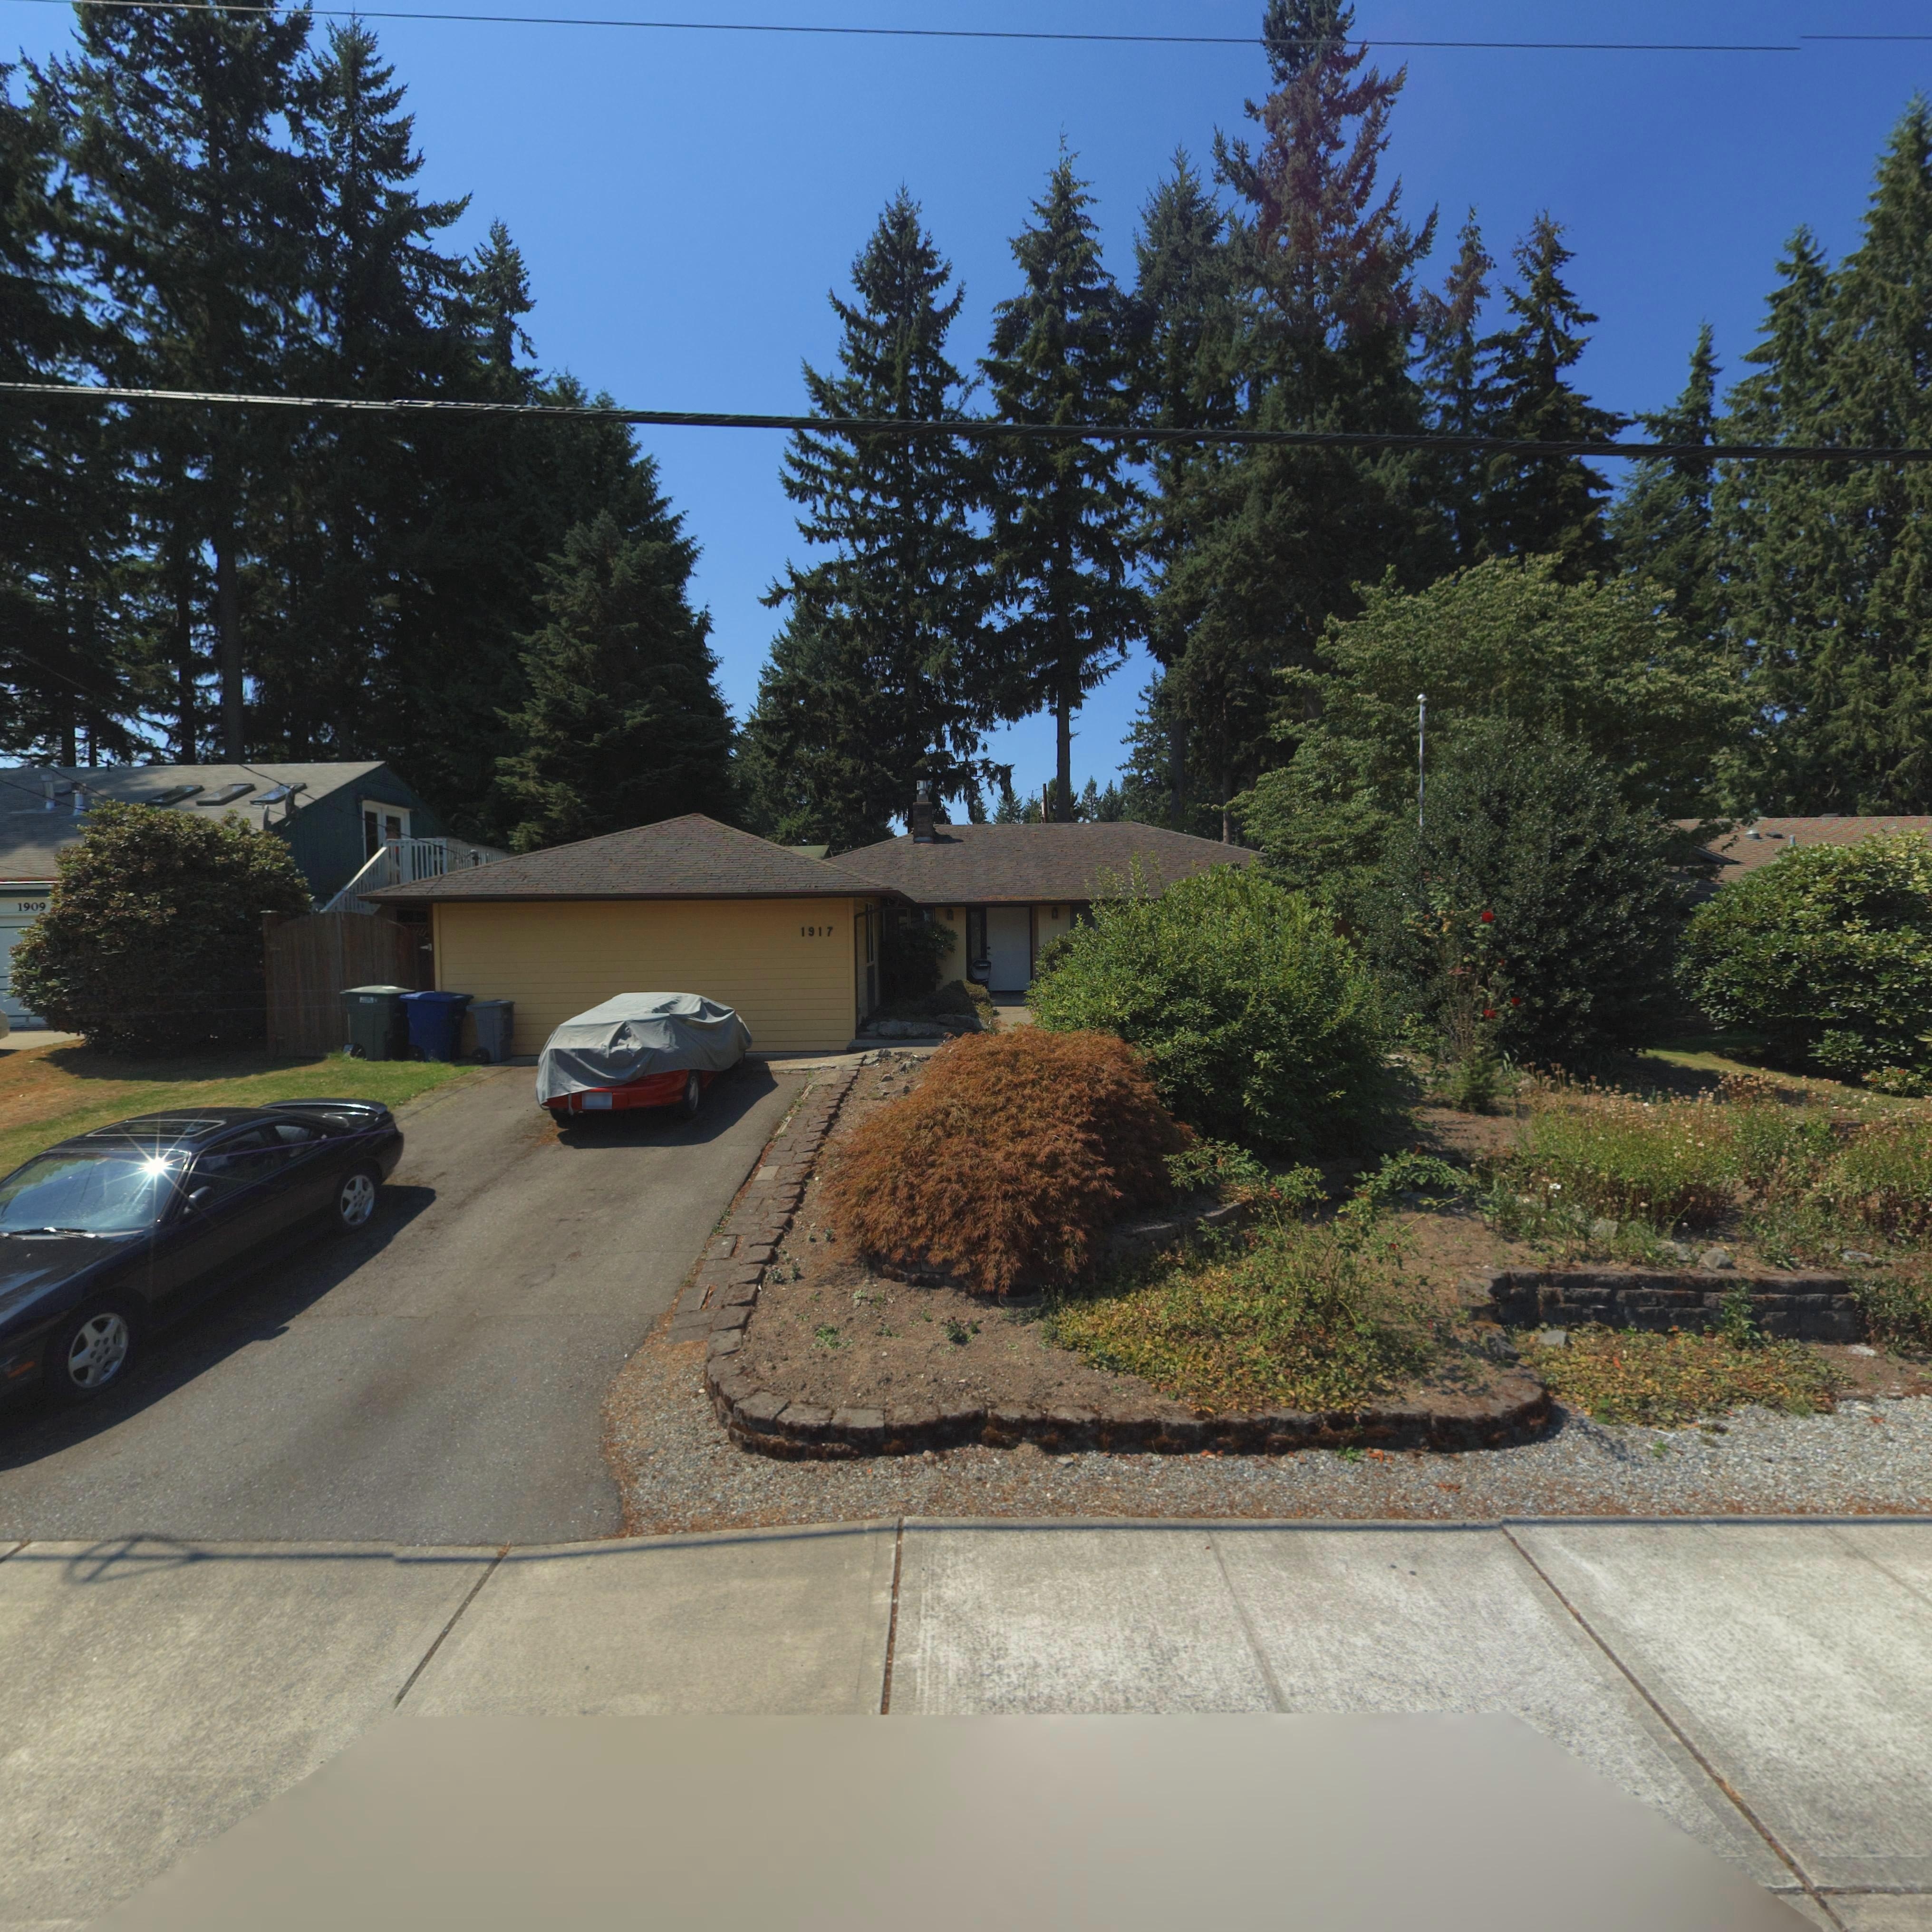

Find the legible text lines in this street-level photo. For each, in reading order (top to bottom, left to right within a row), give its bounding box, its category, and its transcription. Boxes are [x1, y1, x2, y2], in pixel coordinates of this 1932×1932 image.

[16, 901, 48, 913] StreetNumber: 1909
[798, 923, 836, 939] StreetNumber: 1917